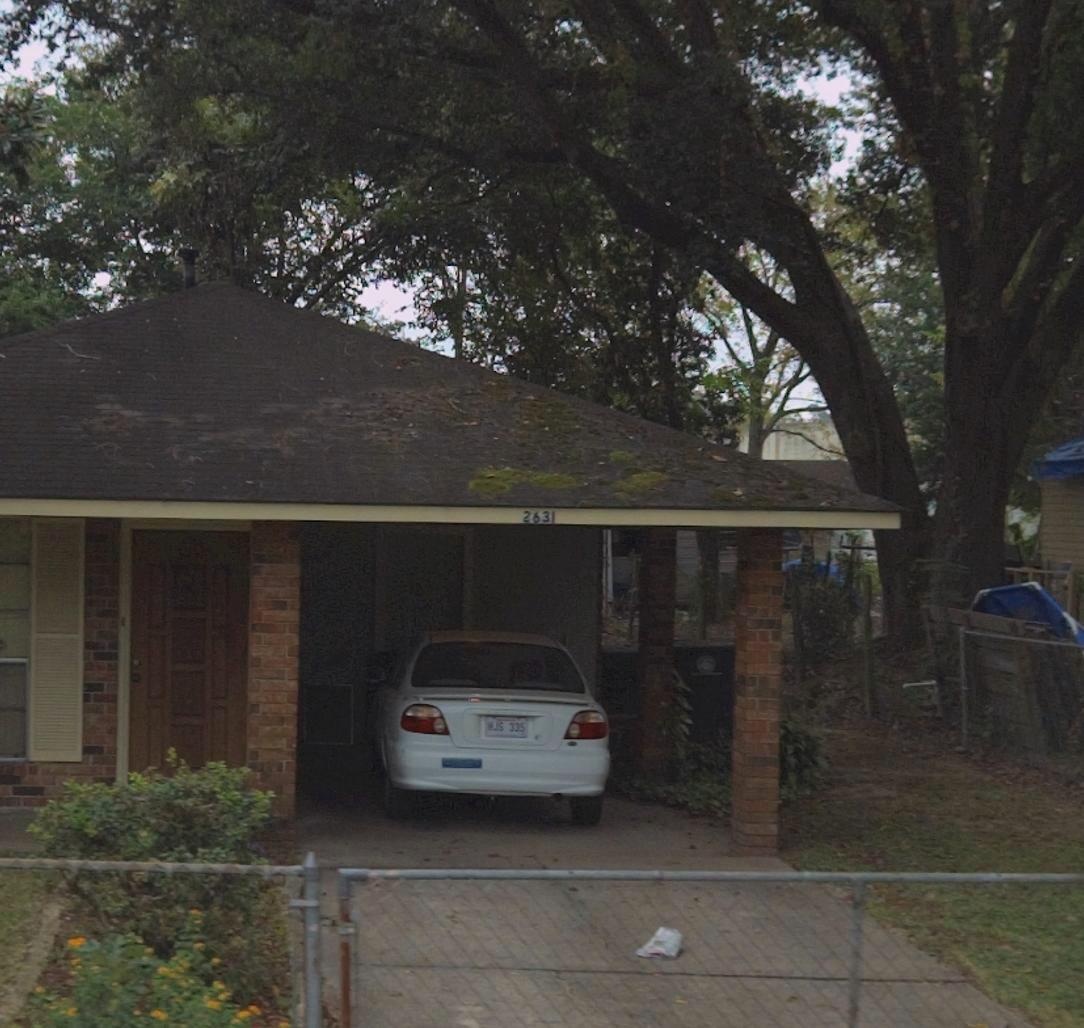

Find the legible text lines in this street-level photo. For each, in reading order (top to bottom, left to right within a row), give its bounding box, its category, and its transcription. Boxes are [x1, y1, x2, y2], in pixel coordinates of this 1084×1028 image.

[522, 510, 556, 523] StreetNumber: 2631
[486, 721, 525, 732] None: HUS 335